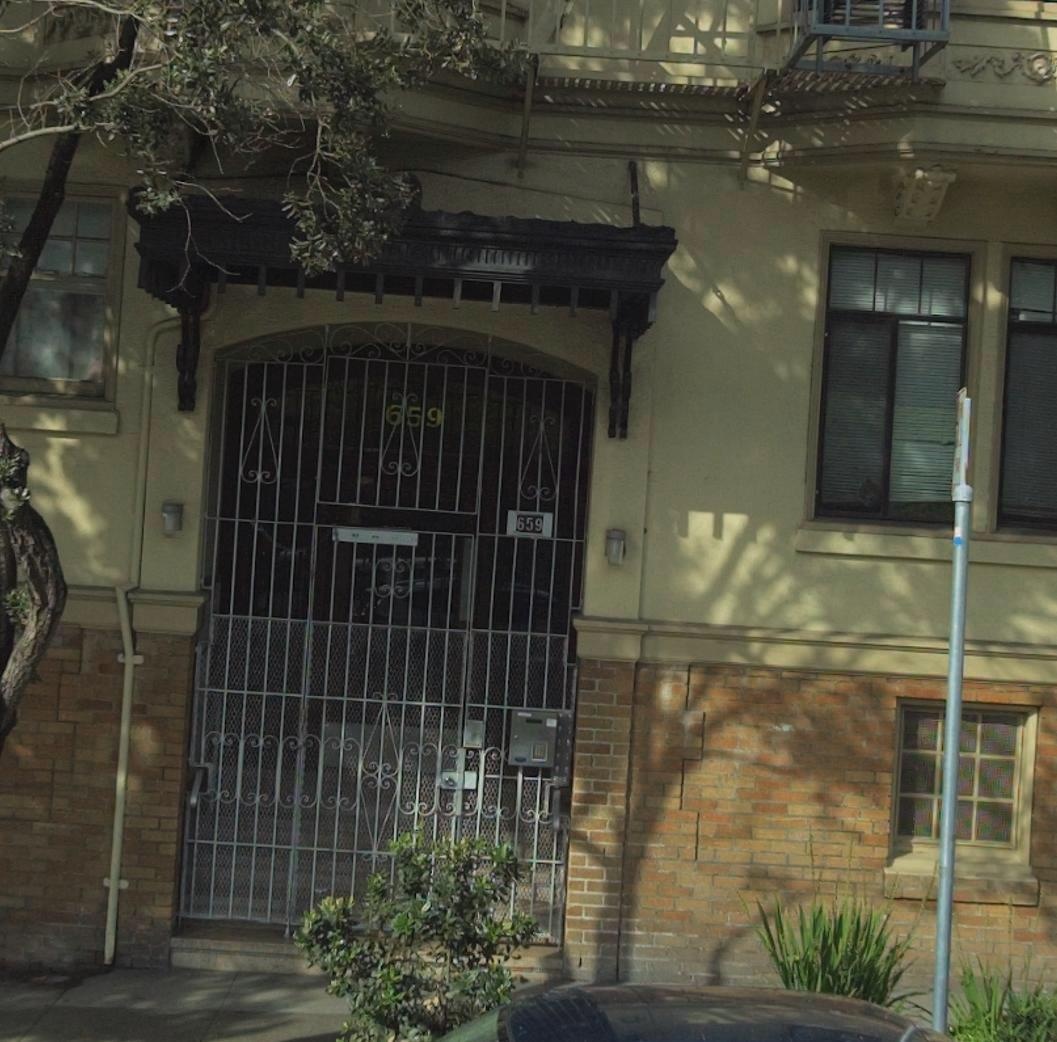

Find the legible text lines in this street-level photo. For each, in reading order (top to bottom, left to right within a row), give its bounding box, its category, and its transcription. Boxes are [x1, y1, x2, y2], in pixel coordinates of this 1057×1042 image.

[514, 514, 545, 534] StreetNumber: 659